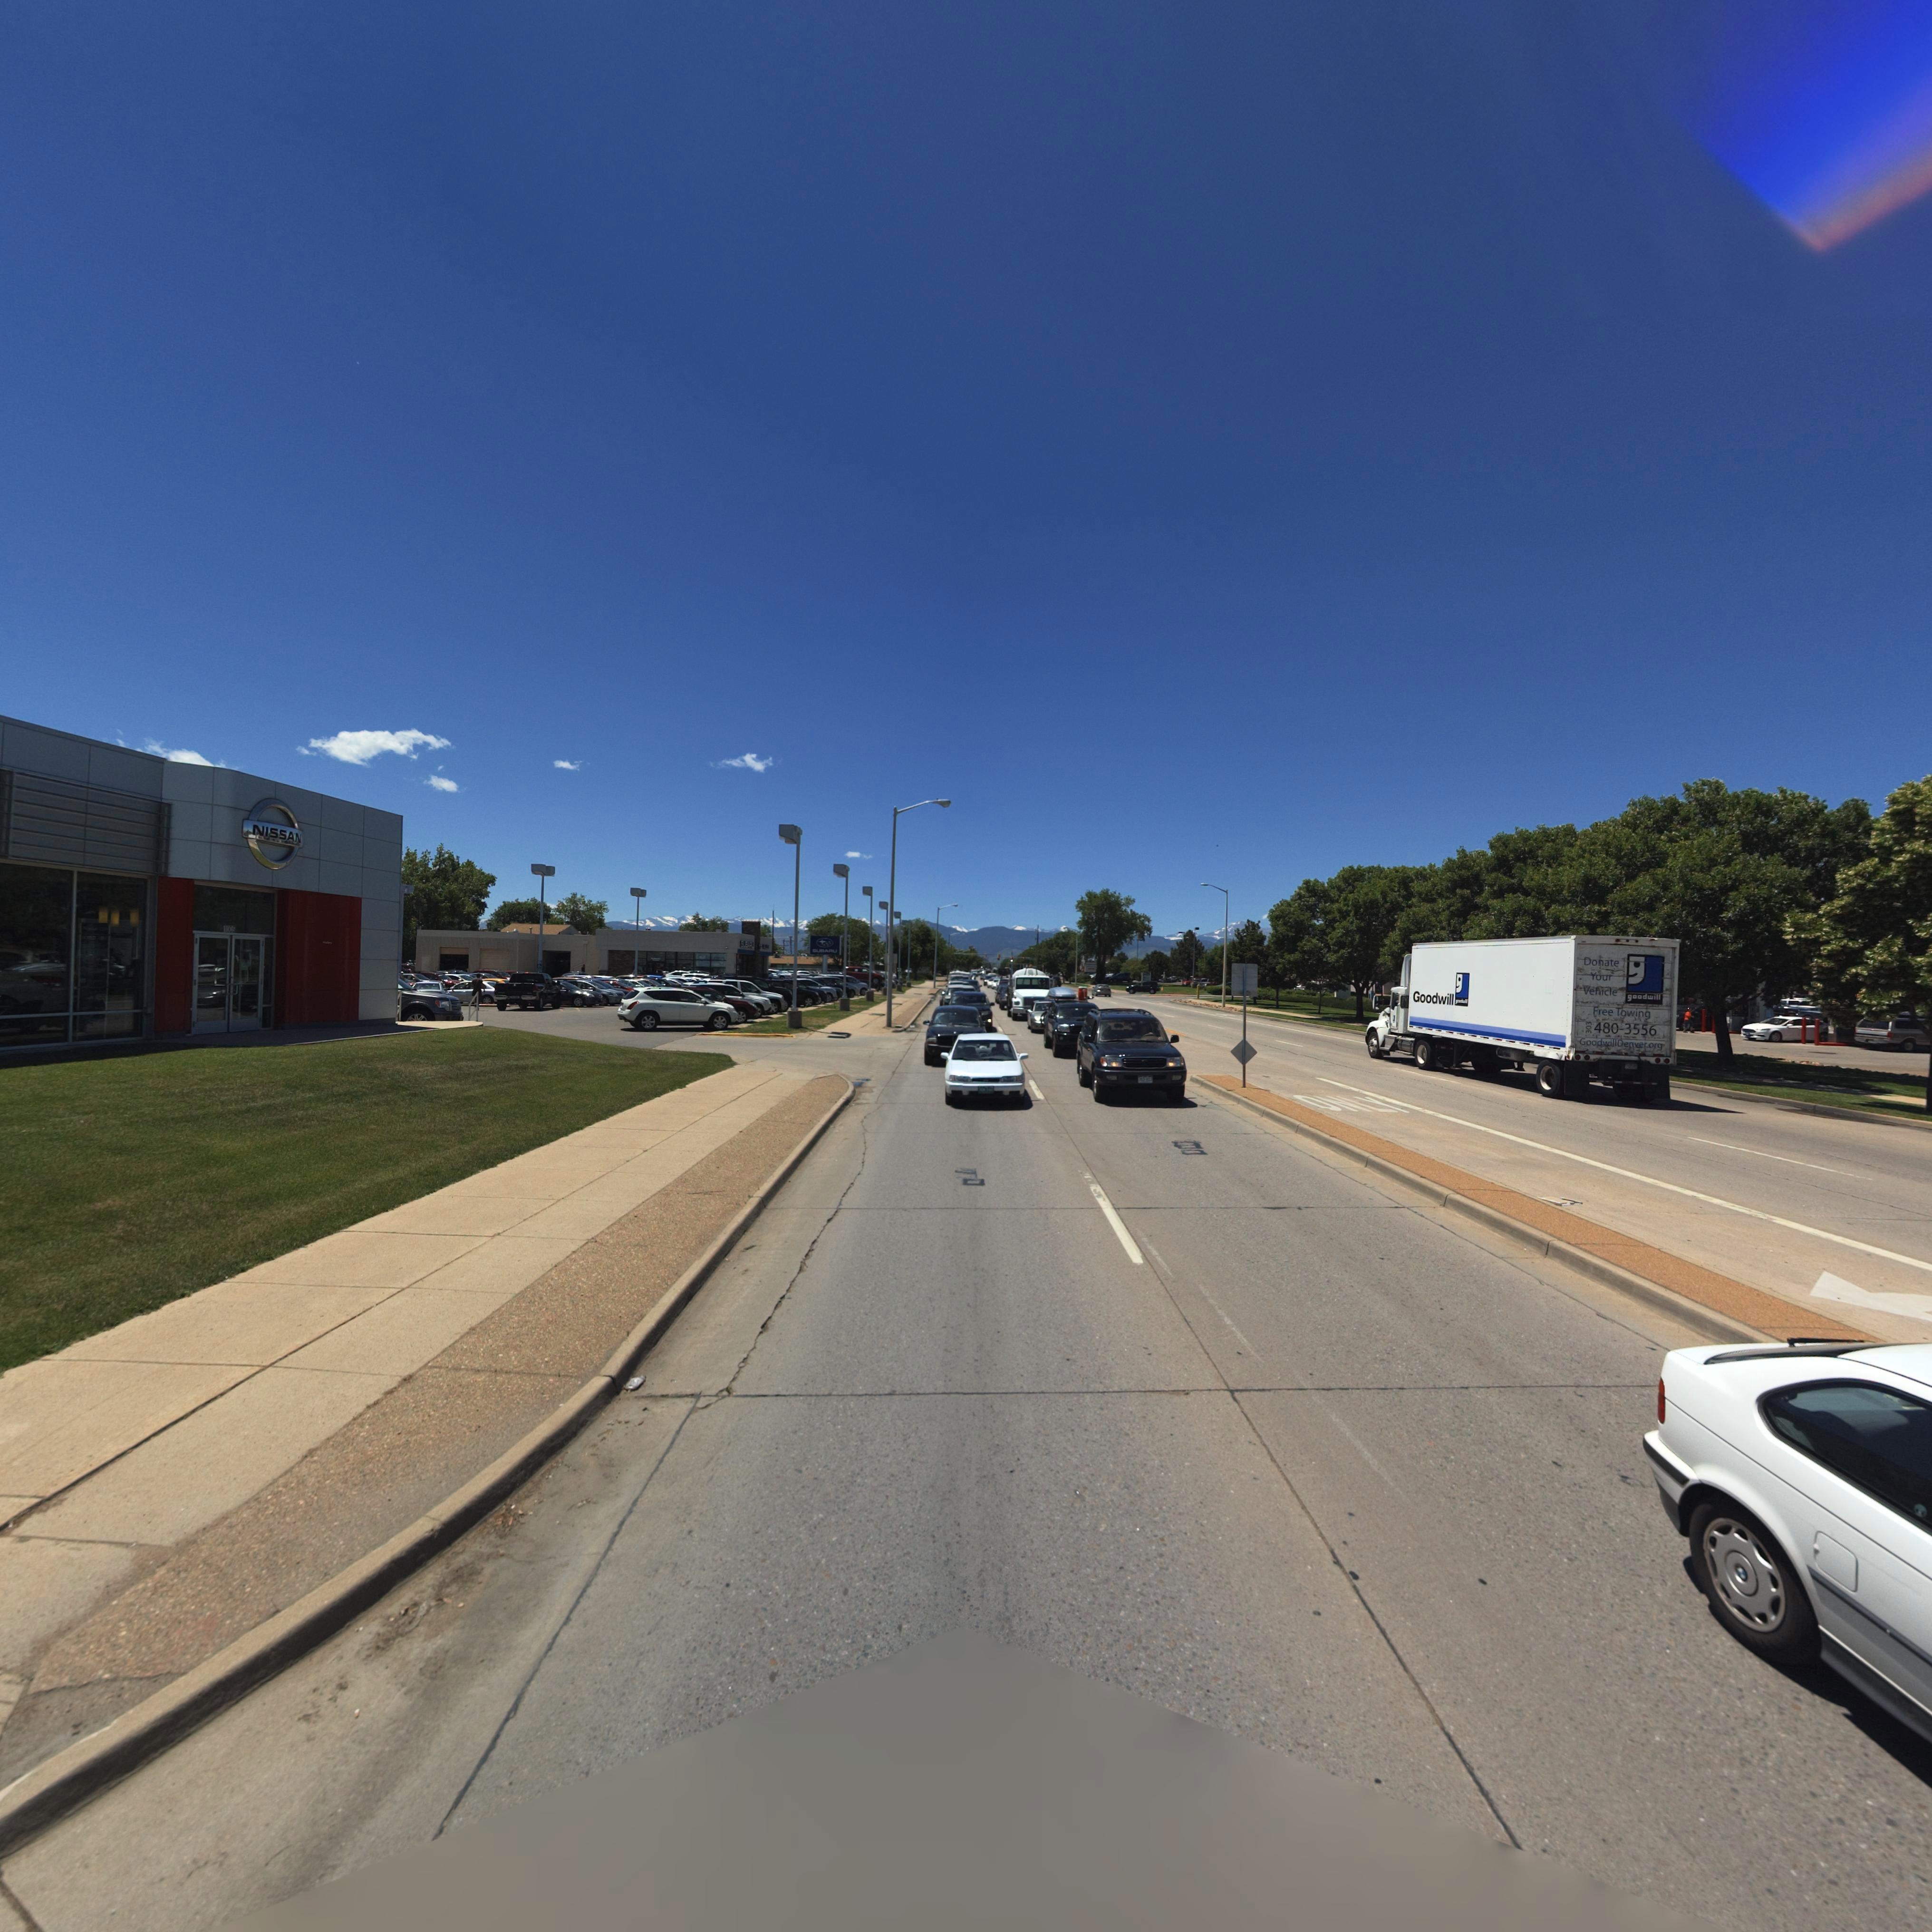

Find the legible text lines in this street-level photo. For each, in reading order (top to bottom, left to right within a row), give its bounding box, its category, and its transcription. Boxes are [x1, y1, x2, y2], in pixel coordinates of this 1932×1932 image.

[251, 823, 302, 844] BusinessName: NISSAN
[224, 924, 235, 932] StreetNumber: 100*
[740, 940, 754, 949] BusinessName: SUBARU
[812, 948, 837, 953] BusinessName: SUBARU